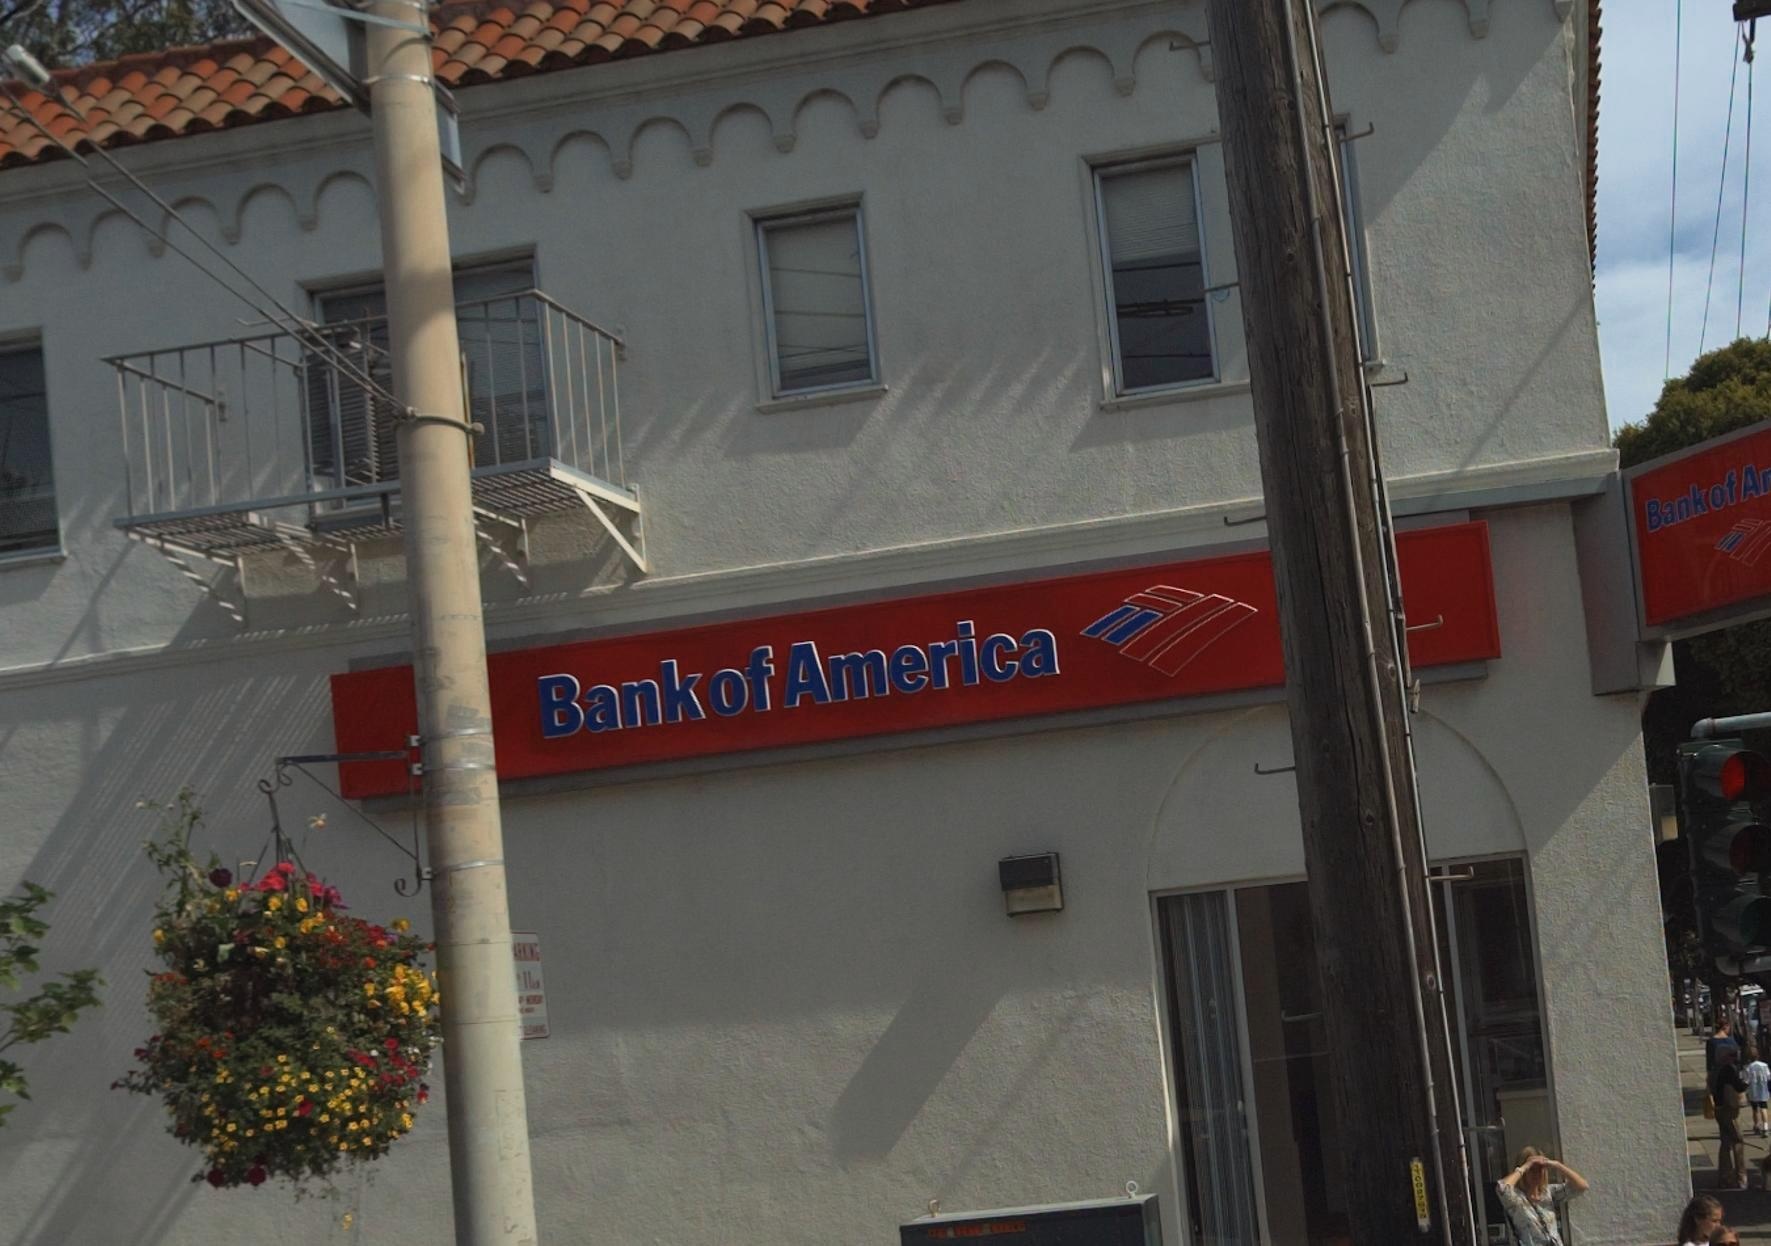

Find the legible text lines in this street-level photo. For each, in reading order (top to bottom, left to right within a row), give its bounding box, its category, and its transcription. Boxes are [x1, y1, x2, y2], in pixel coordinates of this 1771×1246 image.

[1645, 462, 1764, 536] BusinessName: Bank of A
[535, 618, 1062, 741] BusinessName: Bank of America
[511, 941, 542, 961] None: ARKING
[521, 969, 535, 991] None: 11
[1412, 1164, 1428, 1220] None: 1100*761*